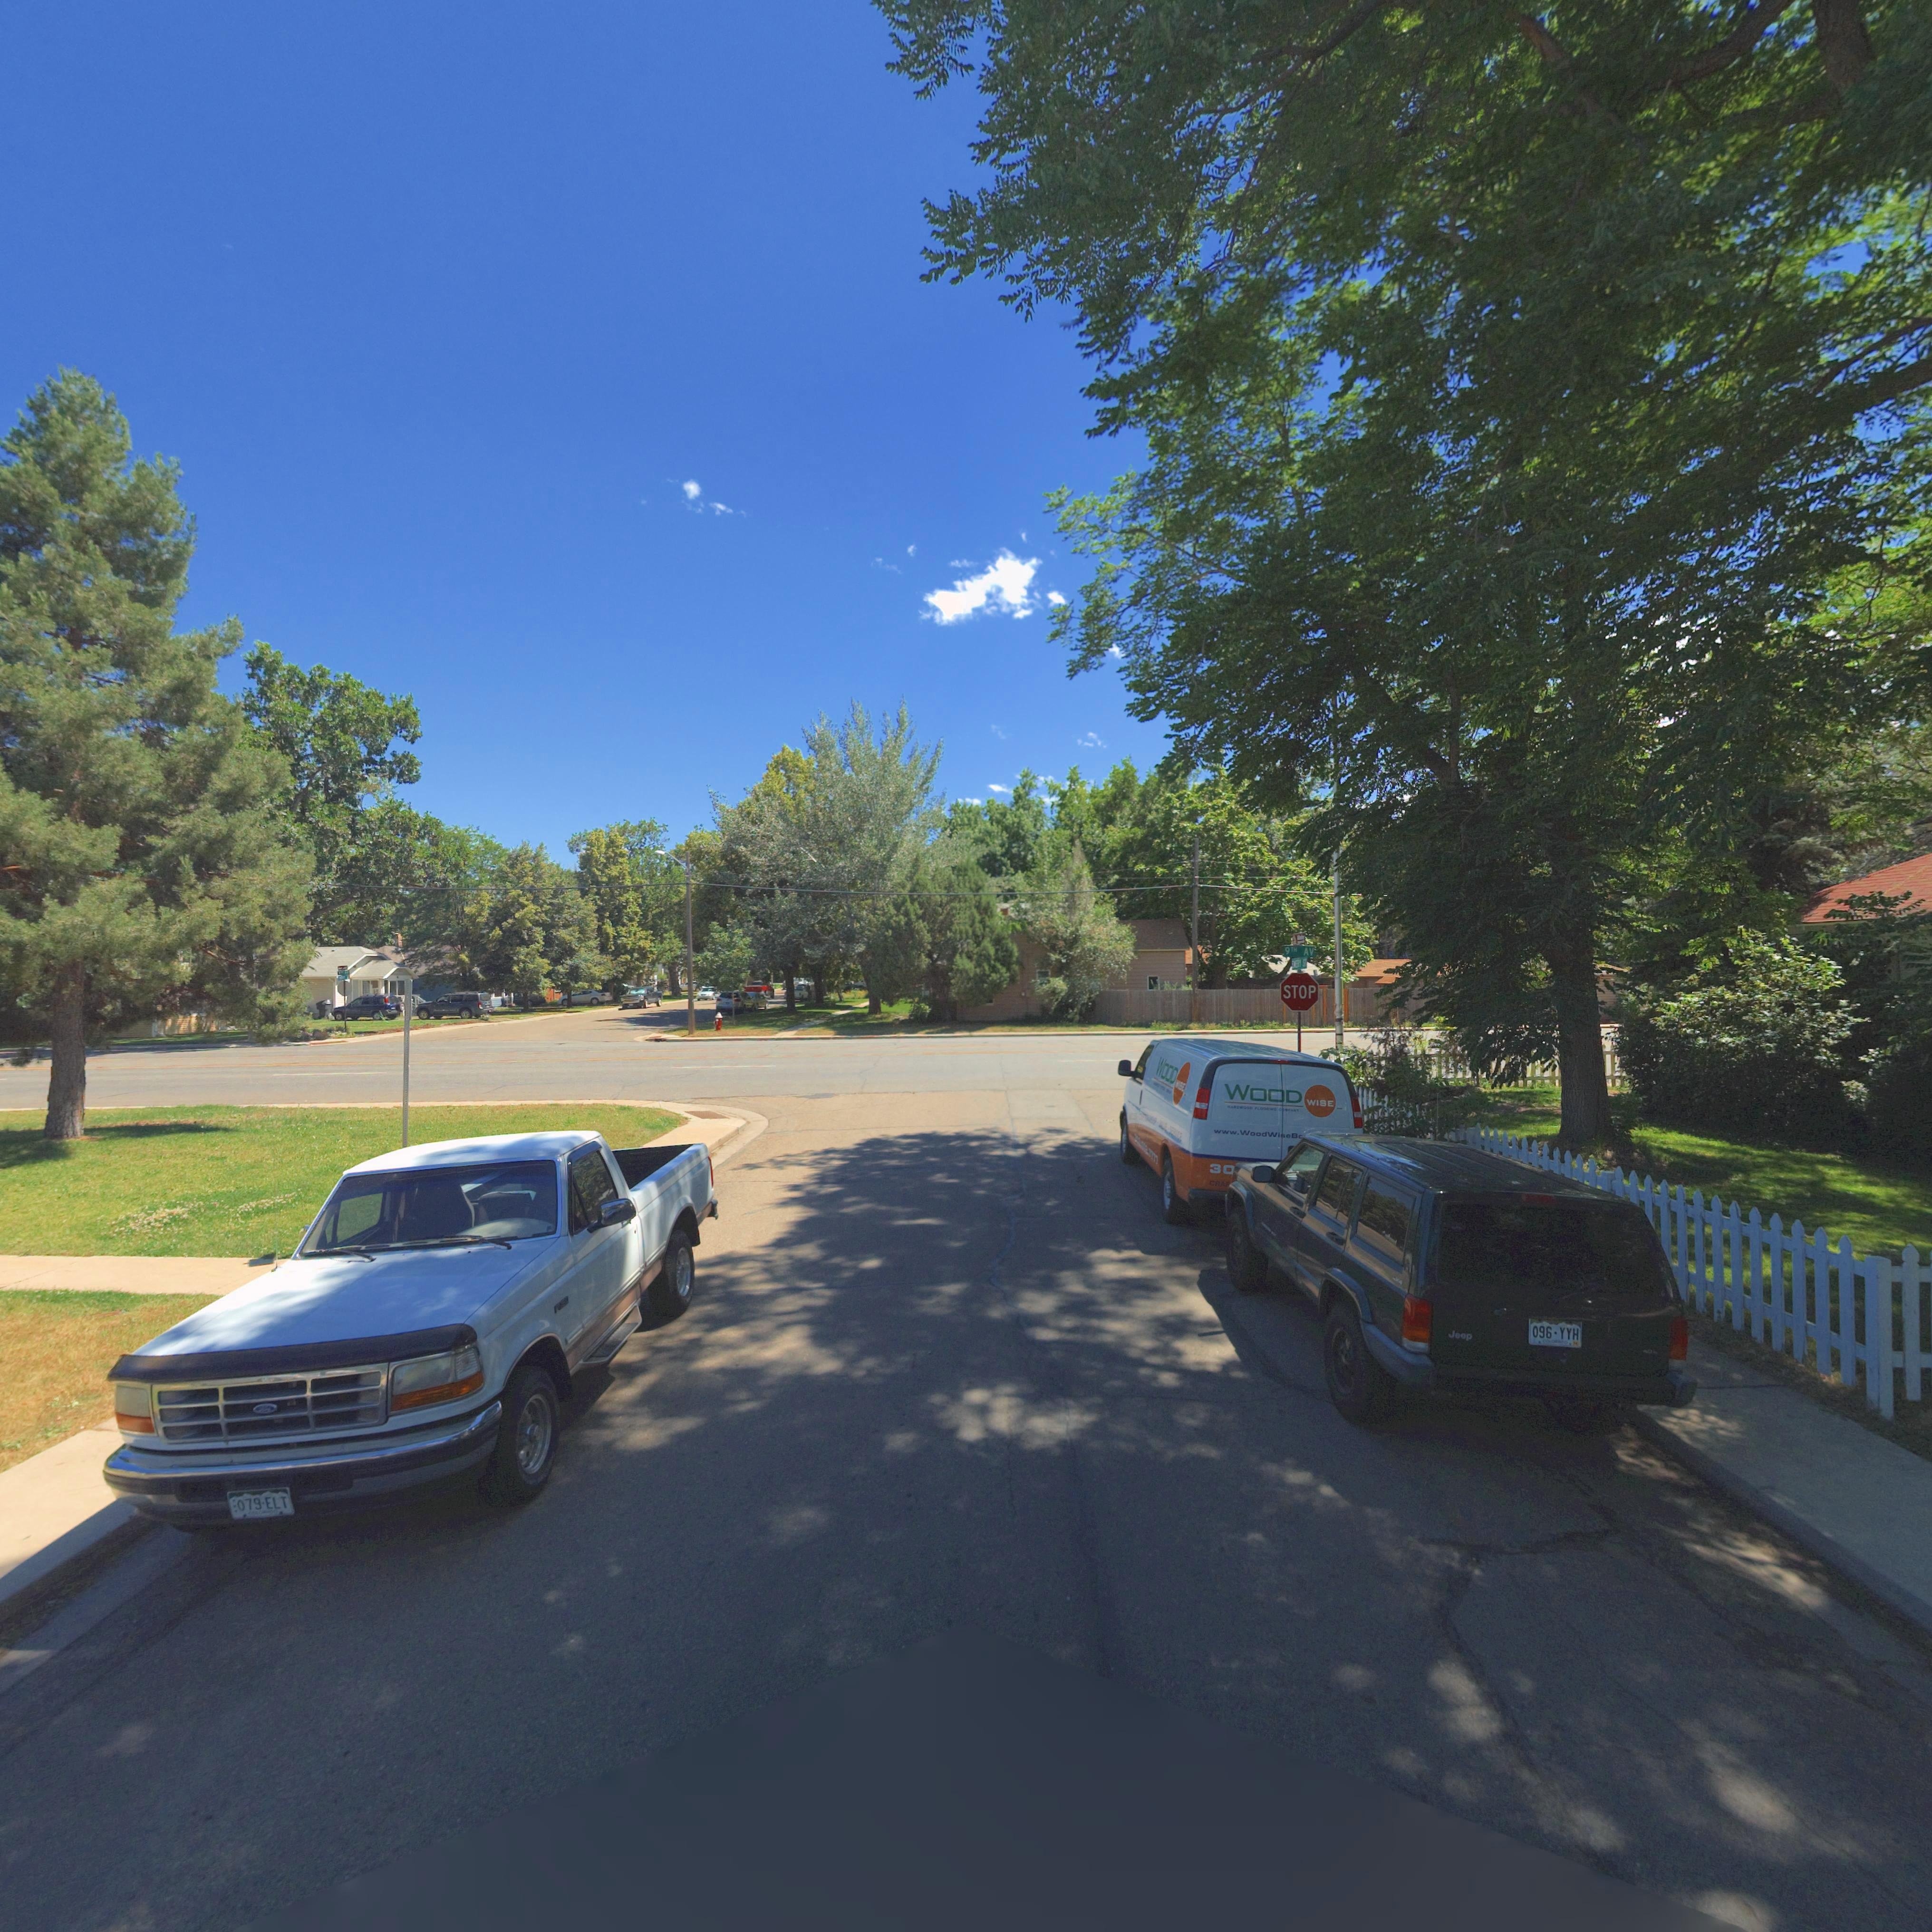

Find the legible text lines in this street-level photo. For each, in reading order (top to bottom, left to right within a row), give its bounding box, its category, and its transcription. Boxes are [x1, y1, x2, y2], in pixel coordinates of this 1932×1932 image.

[1284, 946, 1314, 956] StreetName: 9TH AV
[1291, 958, 1307, 969] StreetName: EME** ST